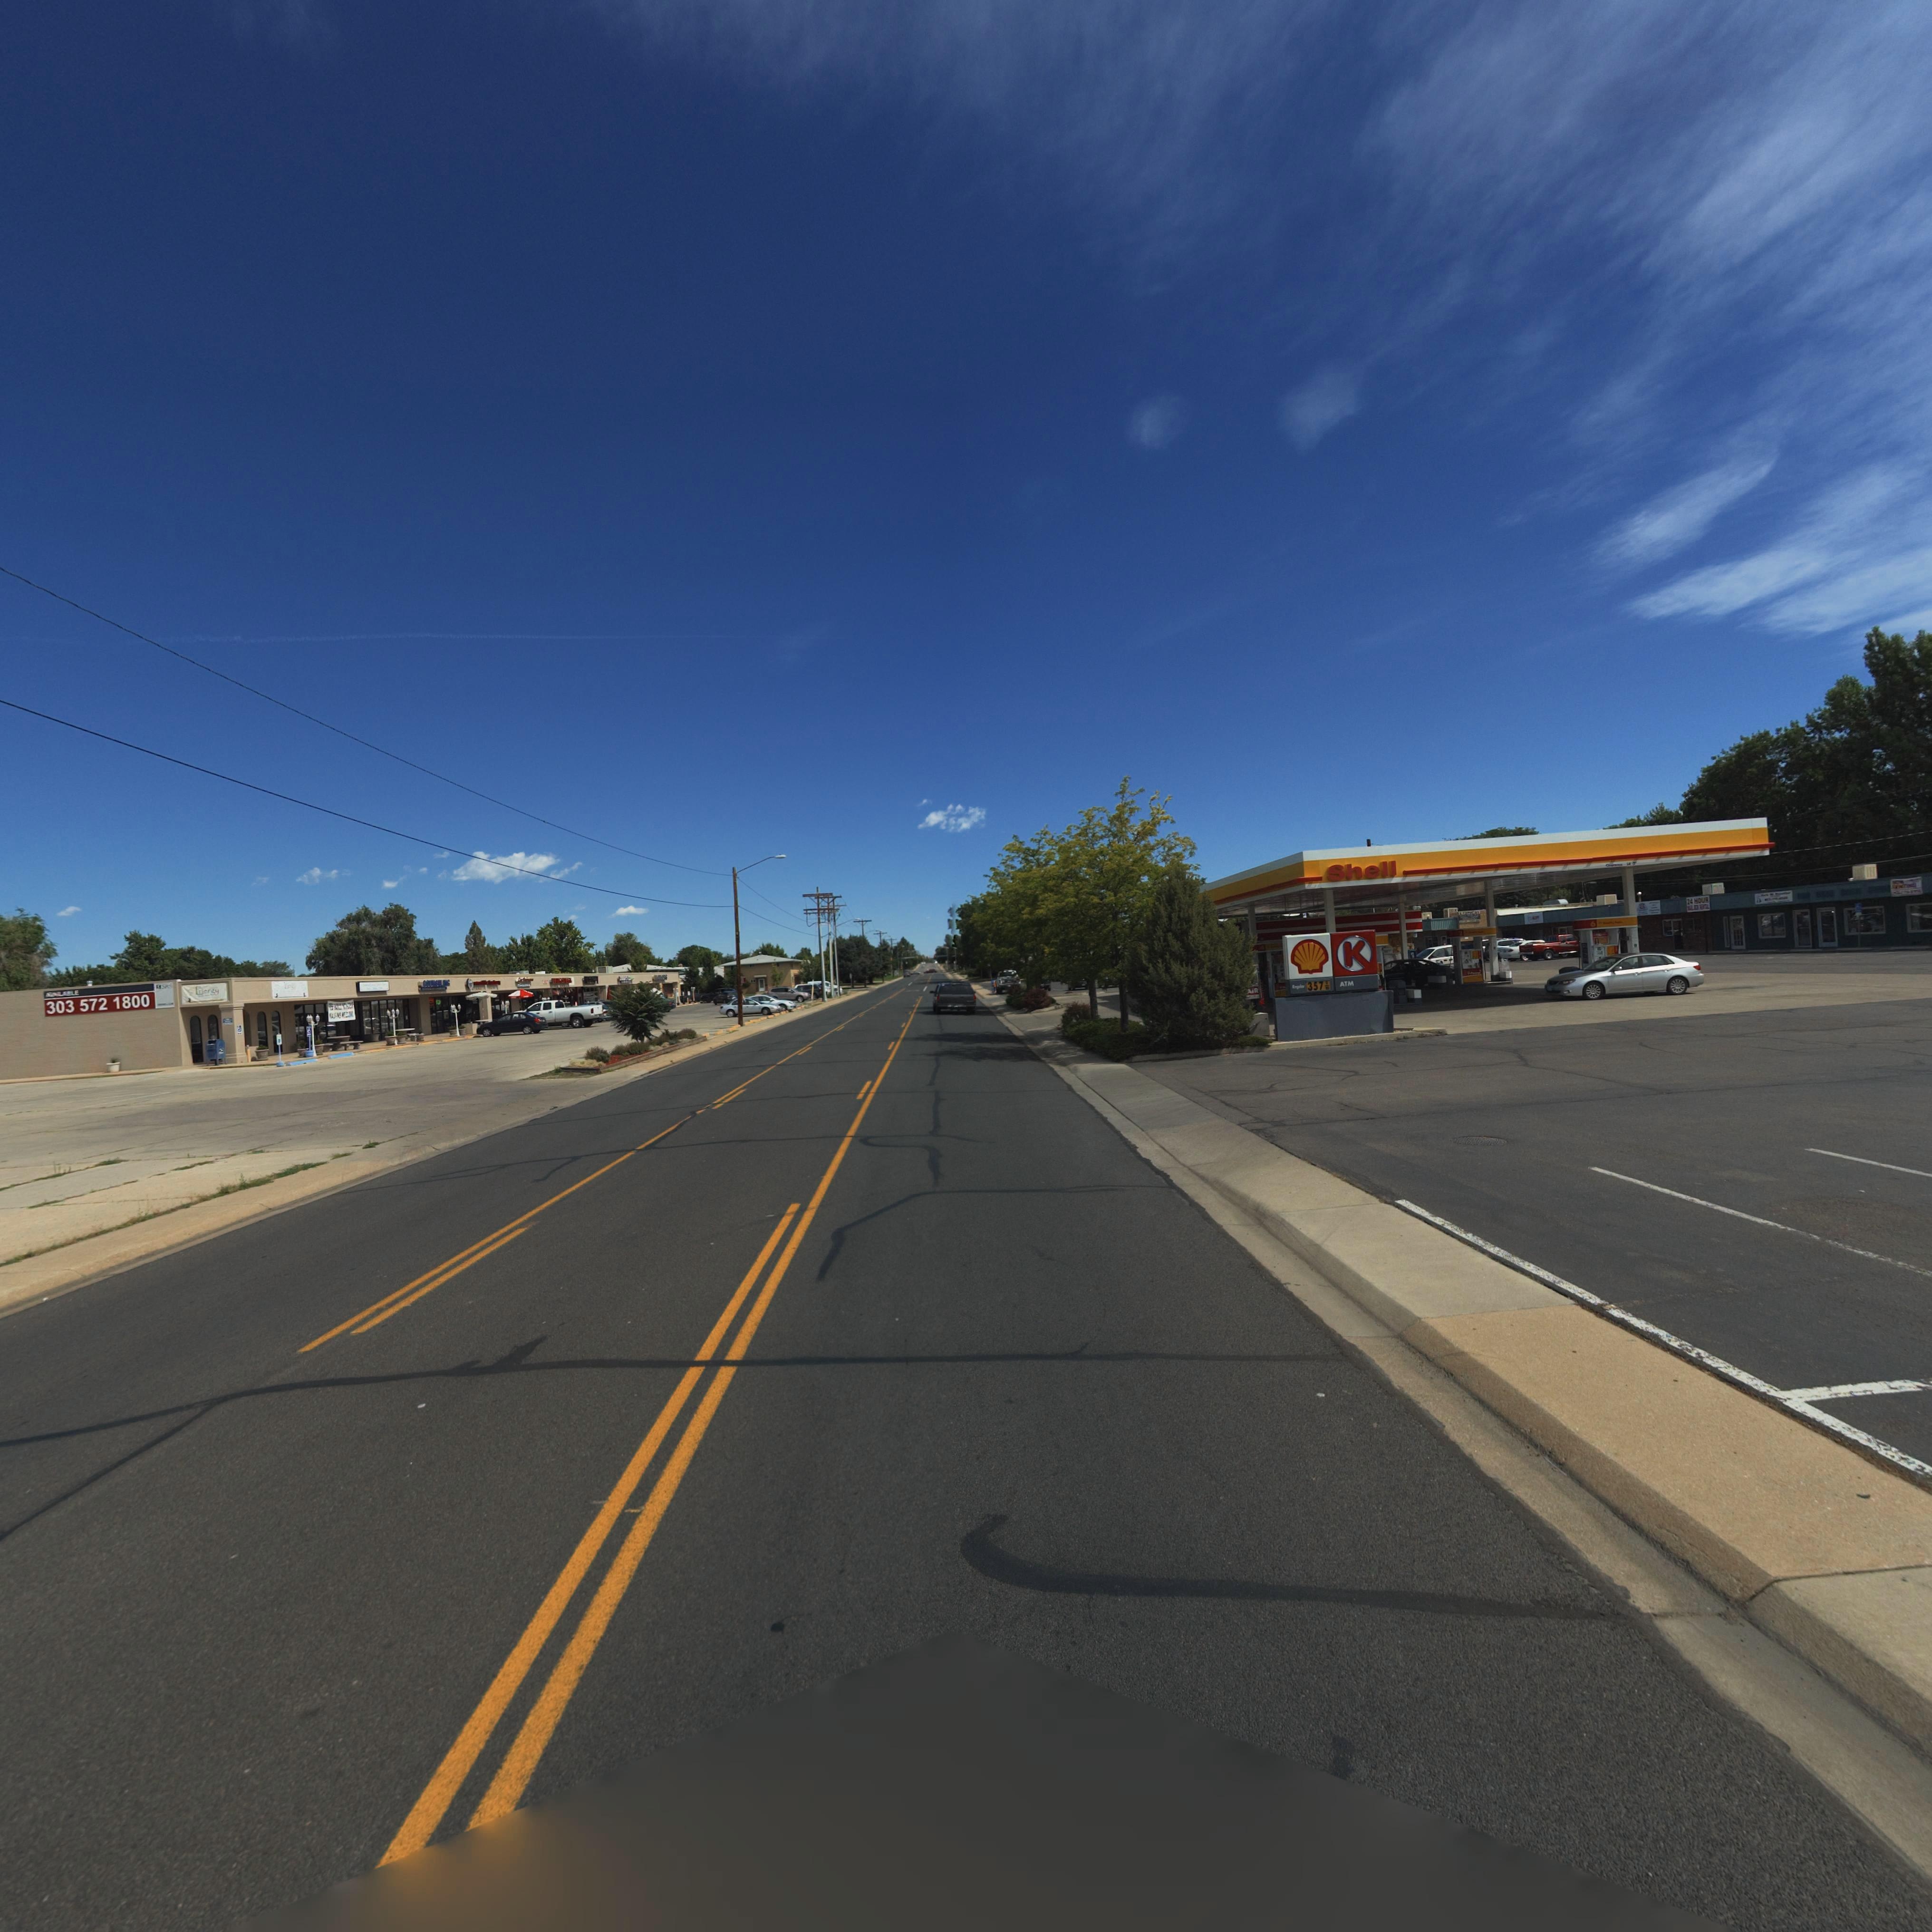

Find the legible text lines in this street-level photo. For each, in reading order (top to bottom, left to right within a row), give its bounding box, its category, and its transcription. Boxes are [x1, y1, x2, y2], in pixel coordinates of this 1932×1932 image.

[1327, 860, 1398, 882] BusinessName: Shell
[1686, 897, 1709, 905] BusinessName:  24 HOUR